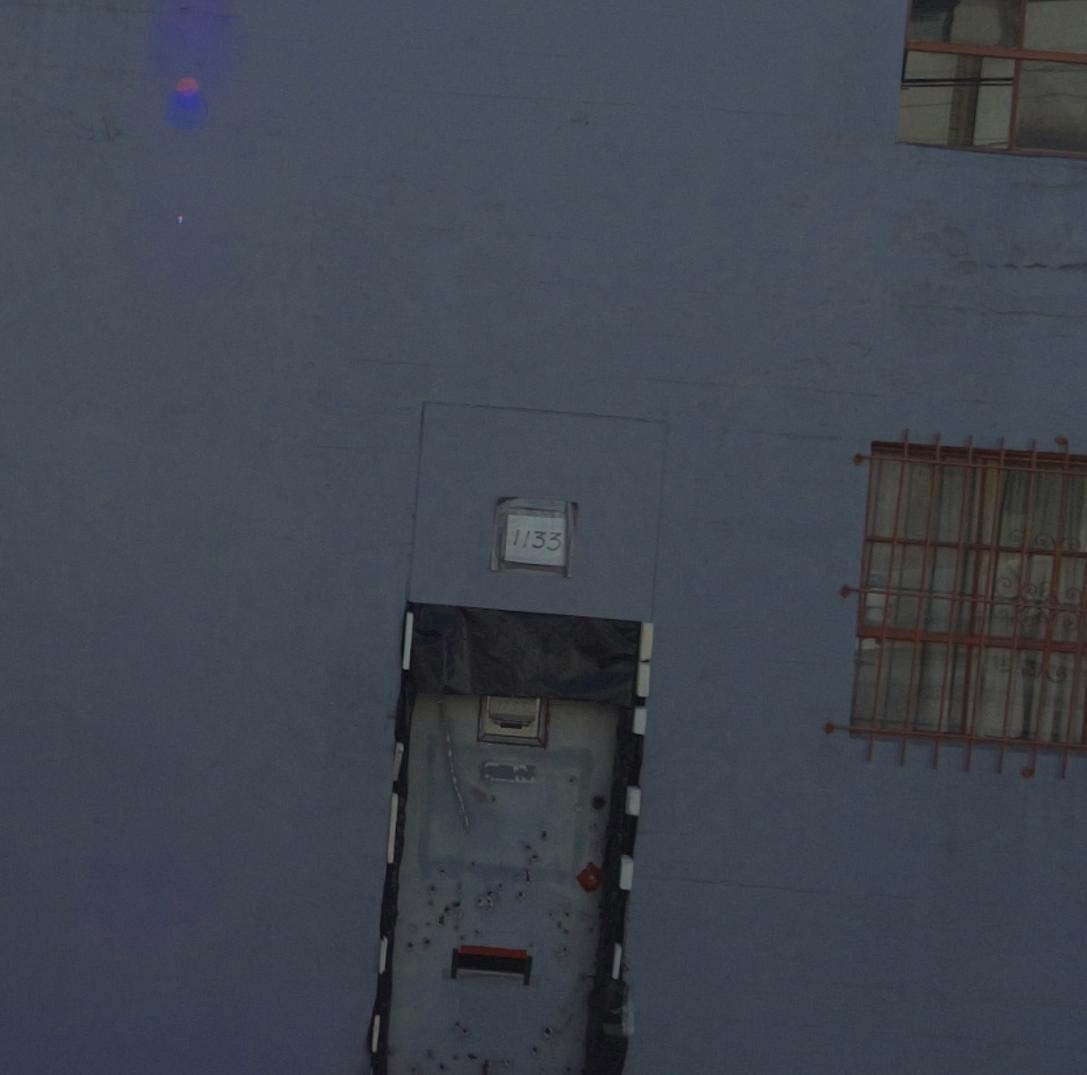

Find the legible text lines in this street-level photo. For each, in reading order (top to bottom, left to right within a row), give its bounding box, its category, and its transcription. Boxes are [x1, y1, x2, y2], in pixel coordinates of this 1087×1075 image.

[510, 527, 564, 554] StreetNumber: 1133